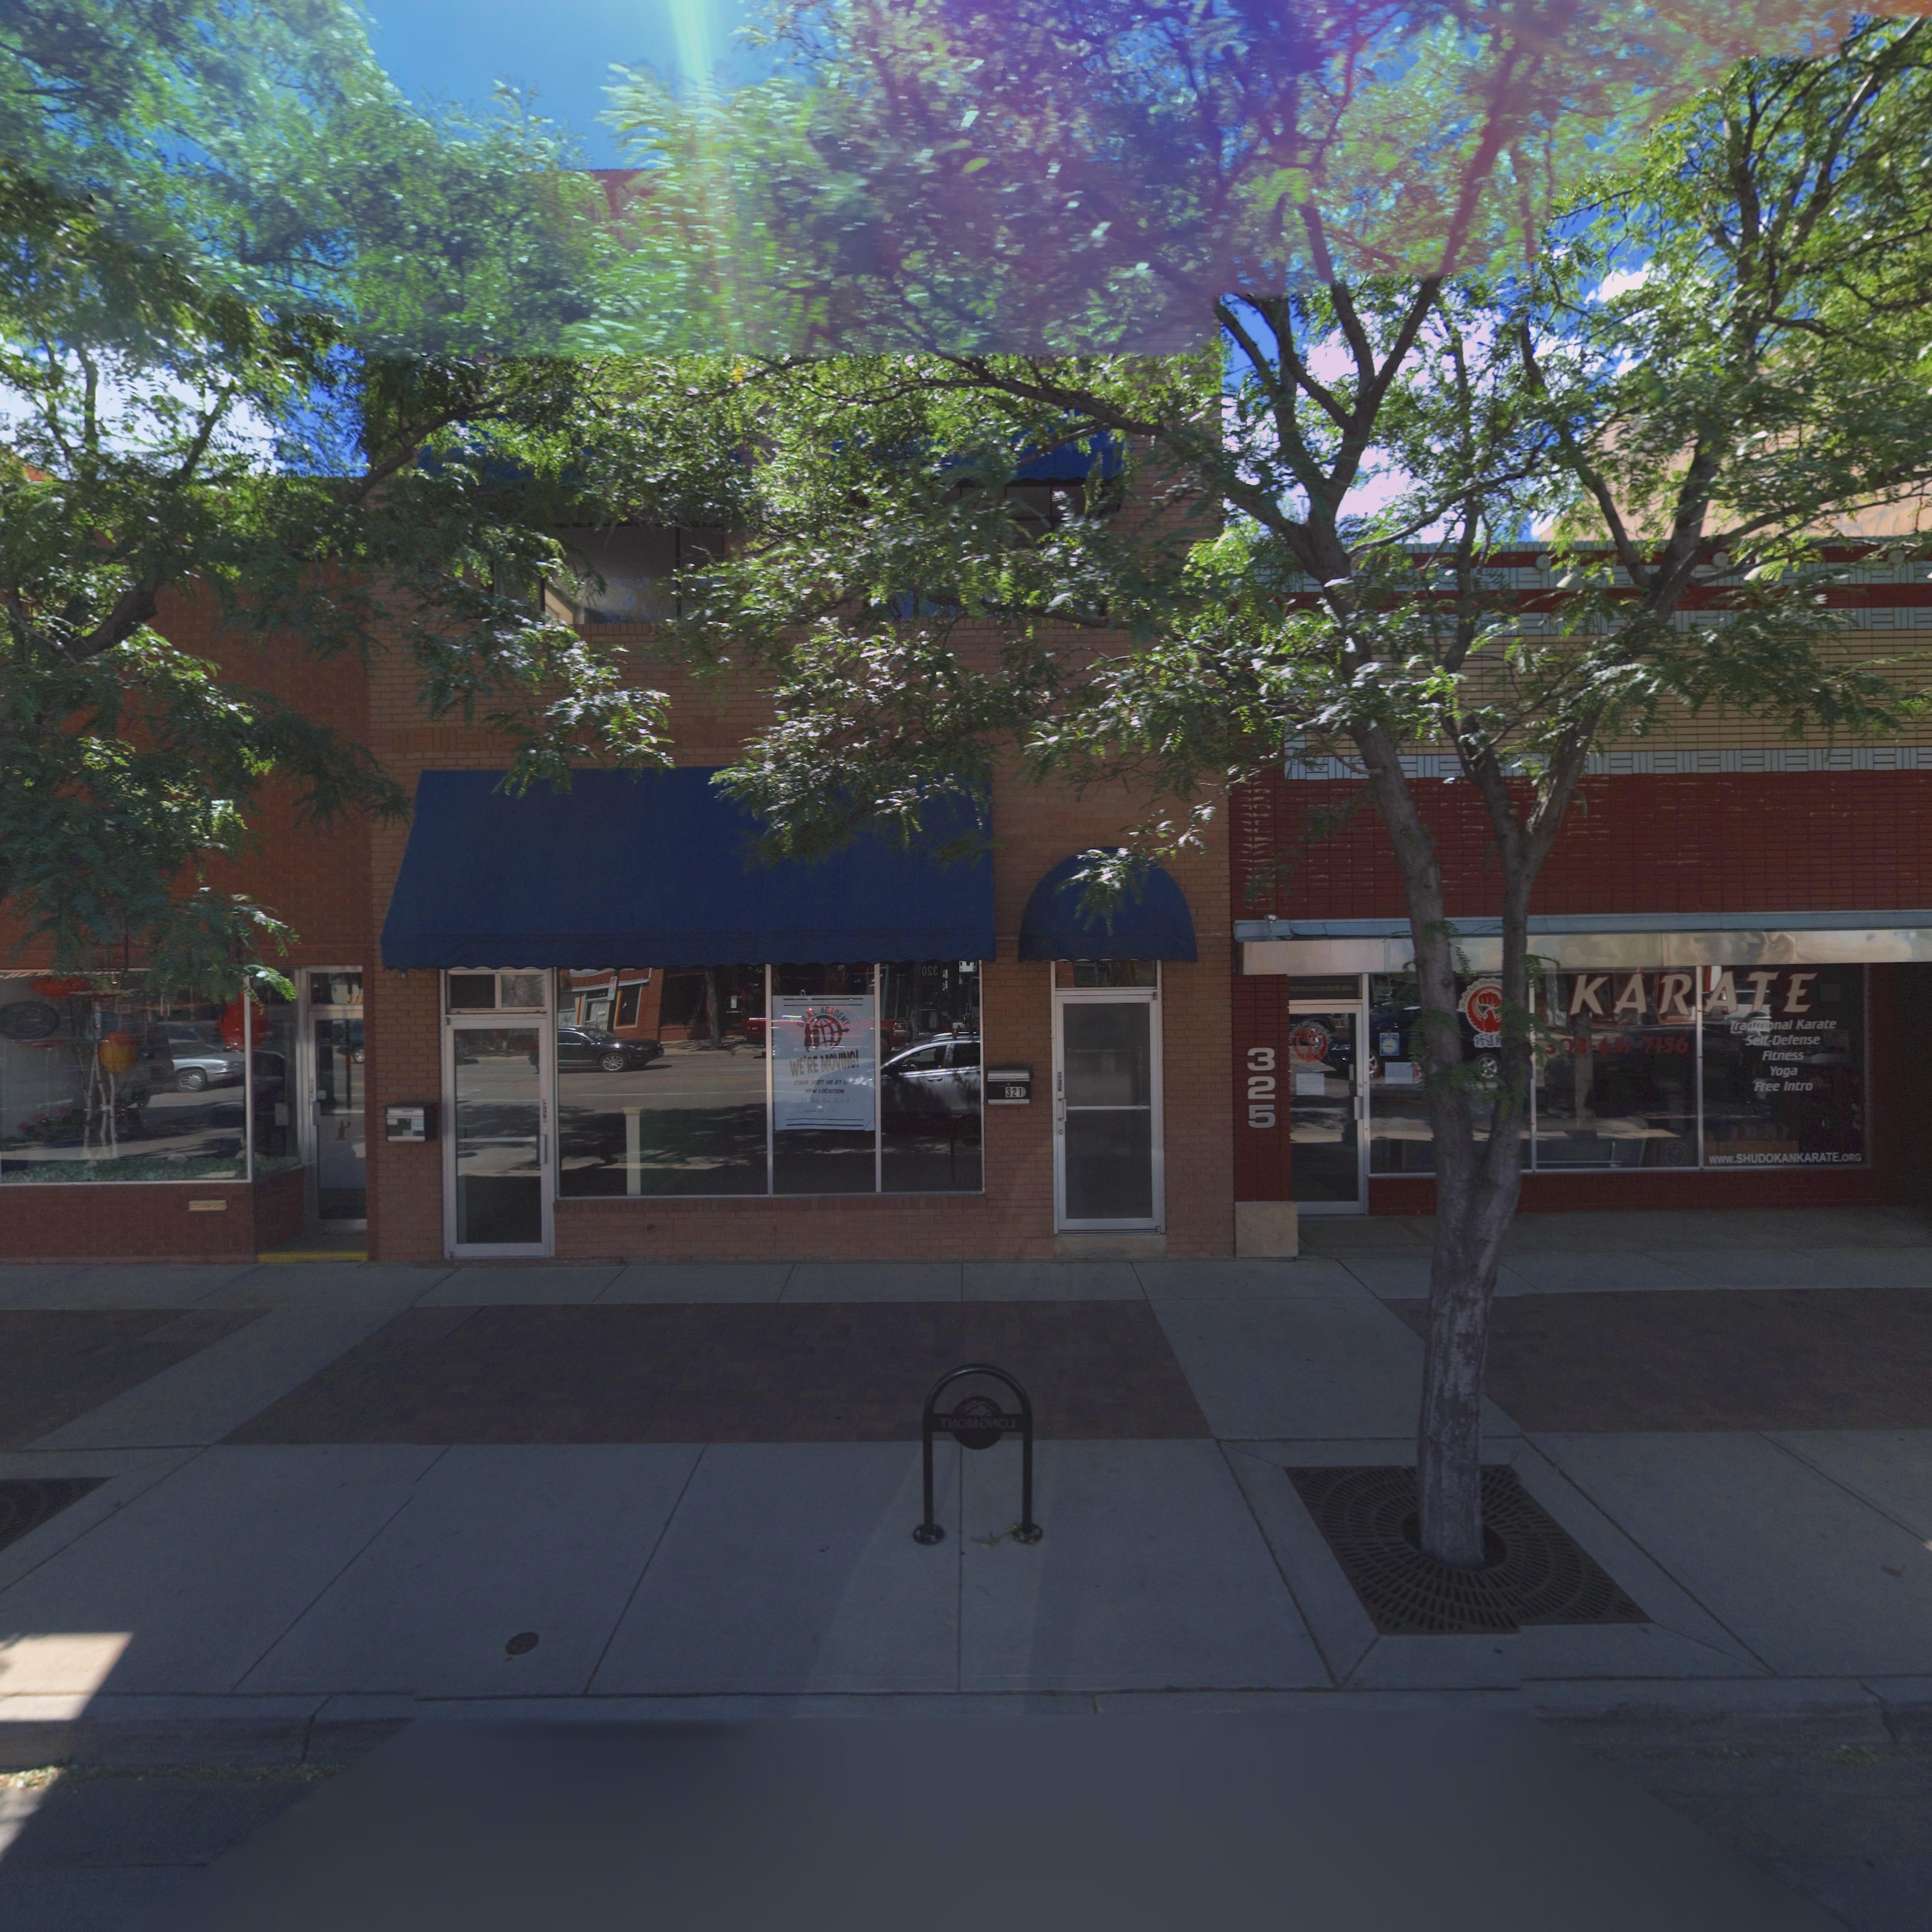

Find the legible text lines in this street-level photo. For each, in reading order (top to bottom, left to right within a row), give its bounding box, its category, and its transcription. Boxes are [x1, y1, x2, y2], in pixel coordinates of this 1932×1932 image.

[346, 994, 364, 1004] StreetNumber: 31*
[1566, 968, 1819, 1016] BusinessName: KARATE
[795, 1005, 851, 1028] BusinessName: G*O*A*L ACADEMY
[1005, 1087, 1022, 1097] StreetNumber: 321
[1246, 1045, 1276, 1129] StreetNumber: 325